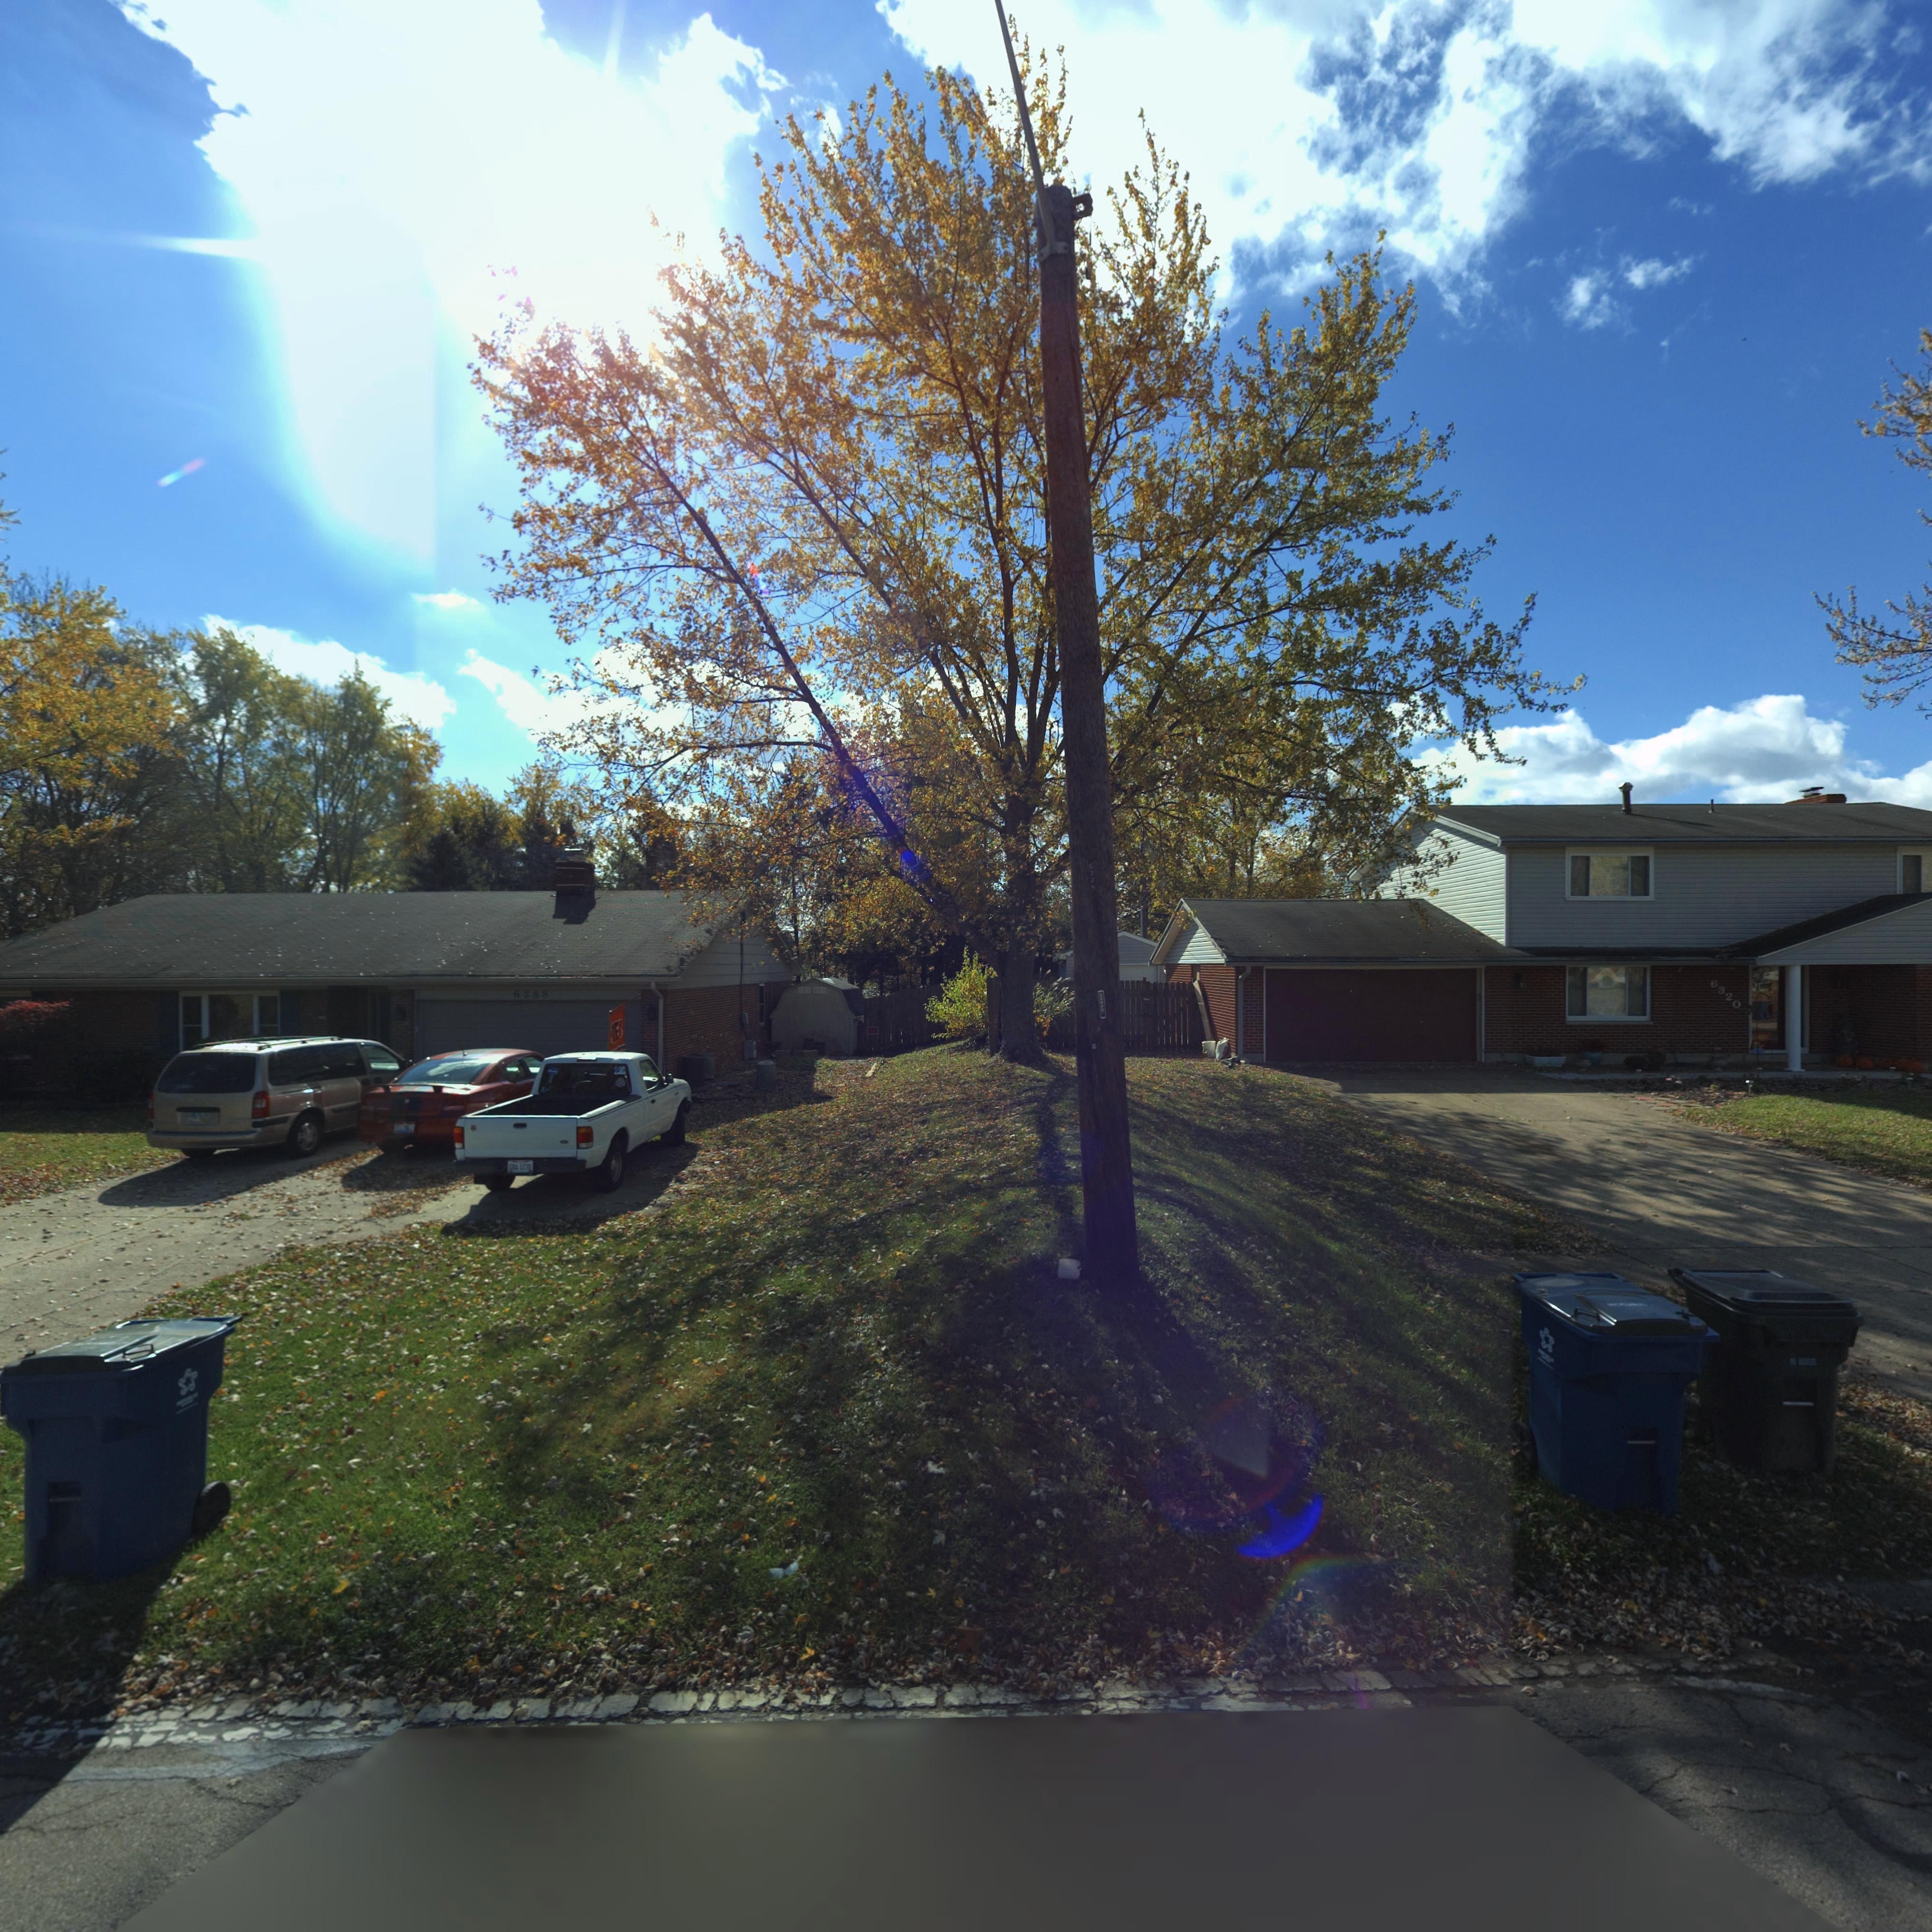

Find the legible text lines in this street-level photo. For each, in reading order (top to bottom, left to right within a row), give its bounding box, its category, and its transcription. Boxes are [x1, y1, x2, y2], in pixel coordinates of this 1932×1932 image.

[512, 989, 549, 999] StreetNumber: 6388
[1710, 979, 1742, 1009] StreetNumber: 6320